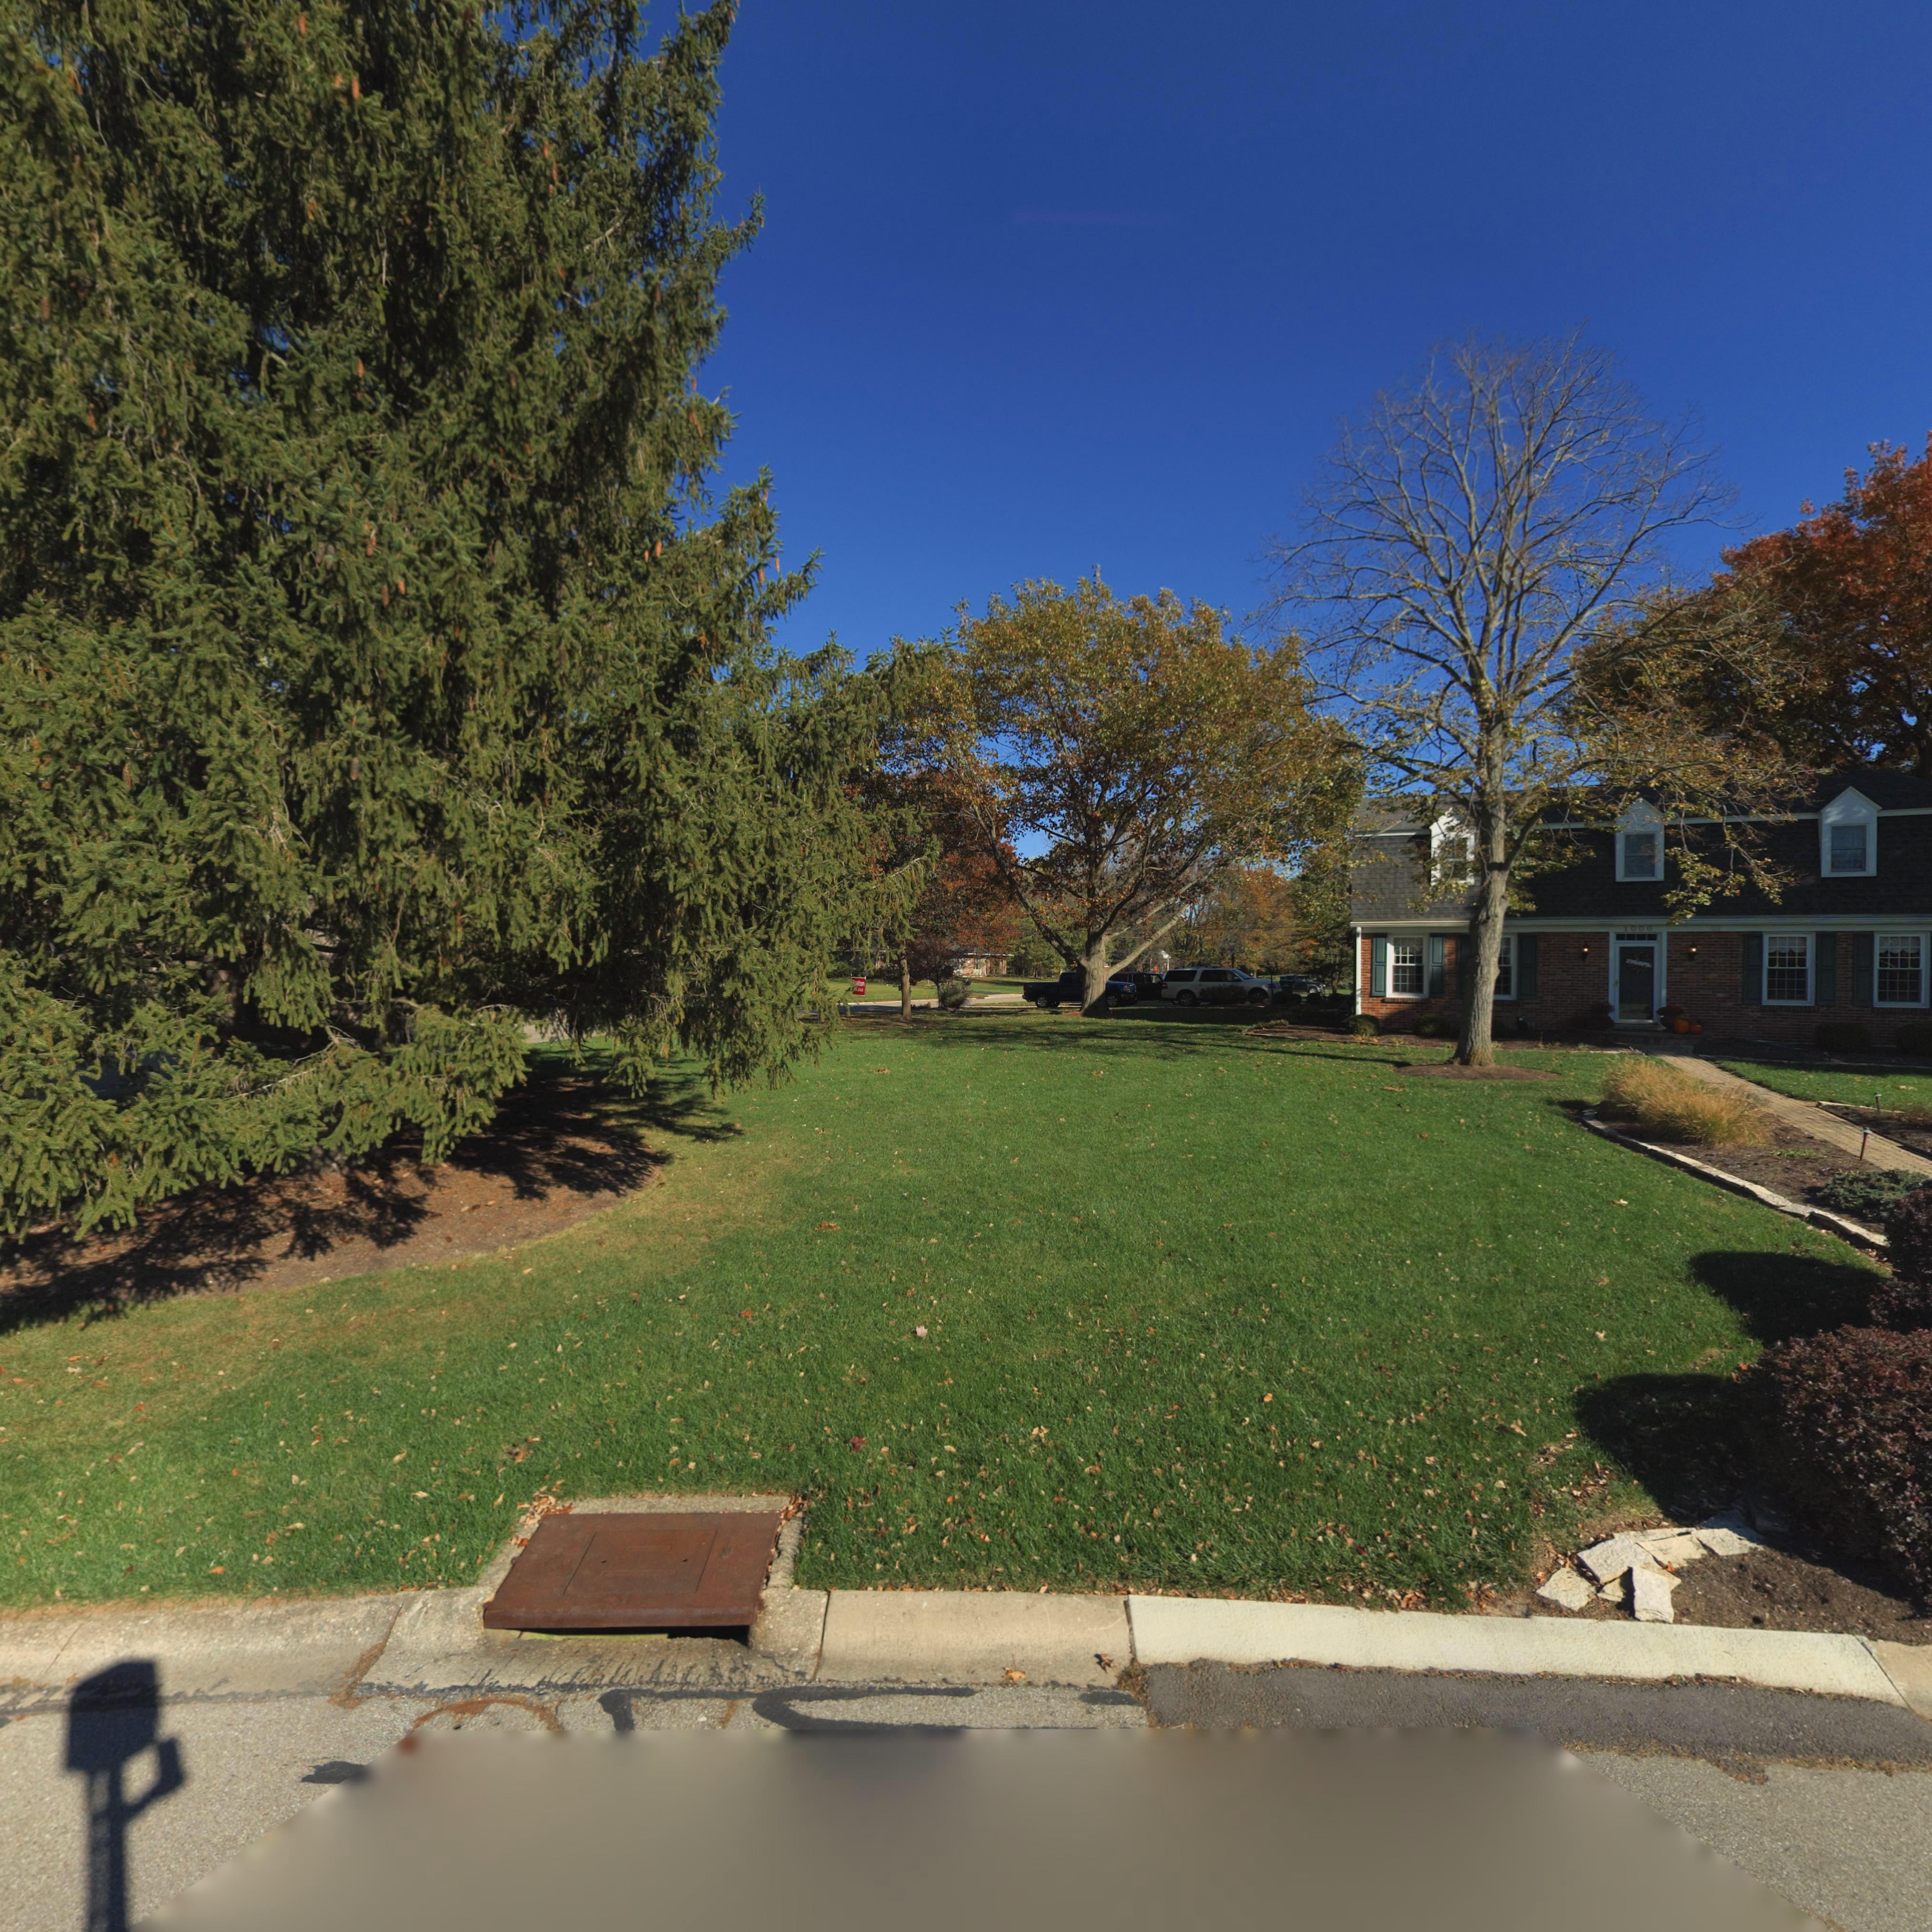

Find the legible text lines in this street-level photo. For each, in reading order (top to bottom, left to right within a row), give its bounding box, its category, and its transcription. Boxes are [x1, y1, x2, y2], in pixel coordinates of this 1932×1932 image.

[1623, 924, 1652, 932] StreetNumber: 1000